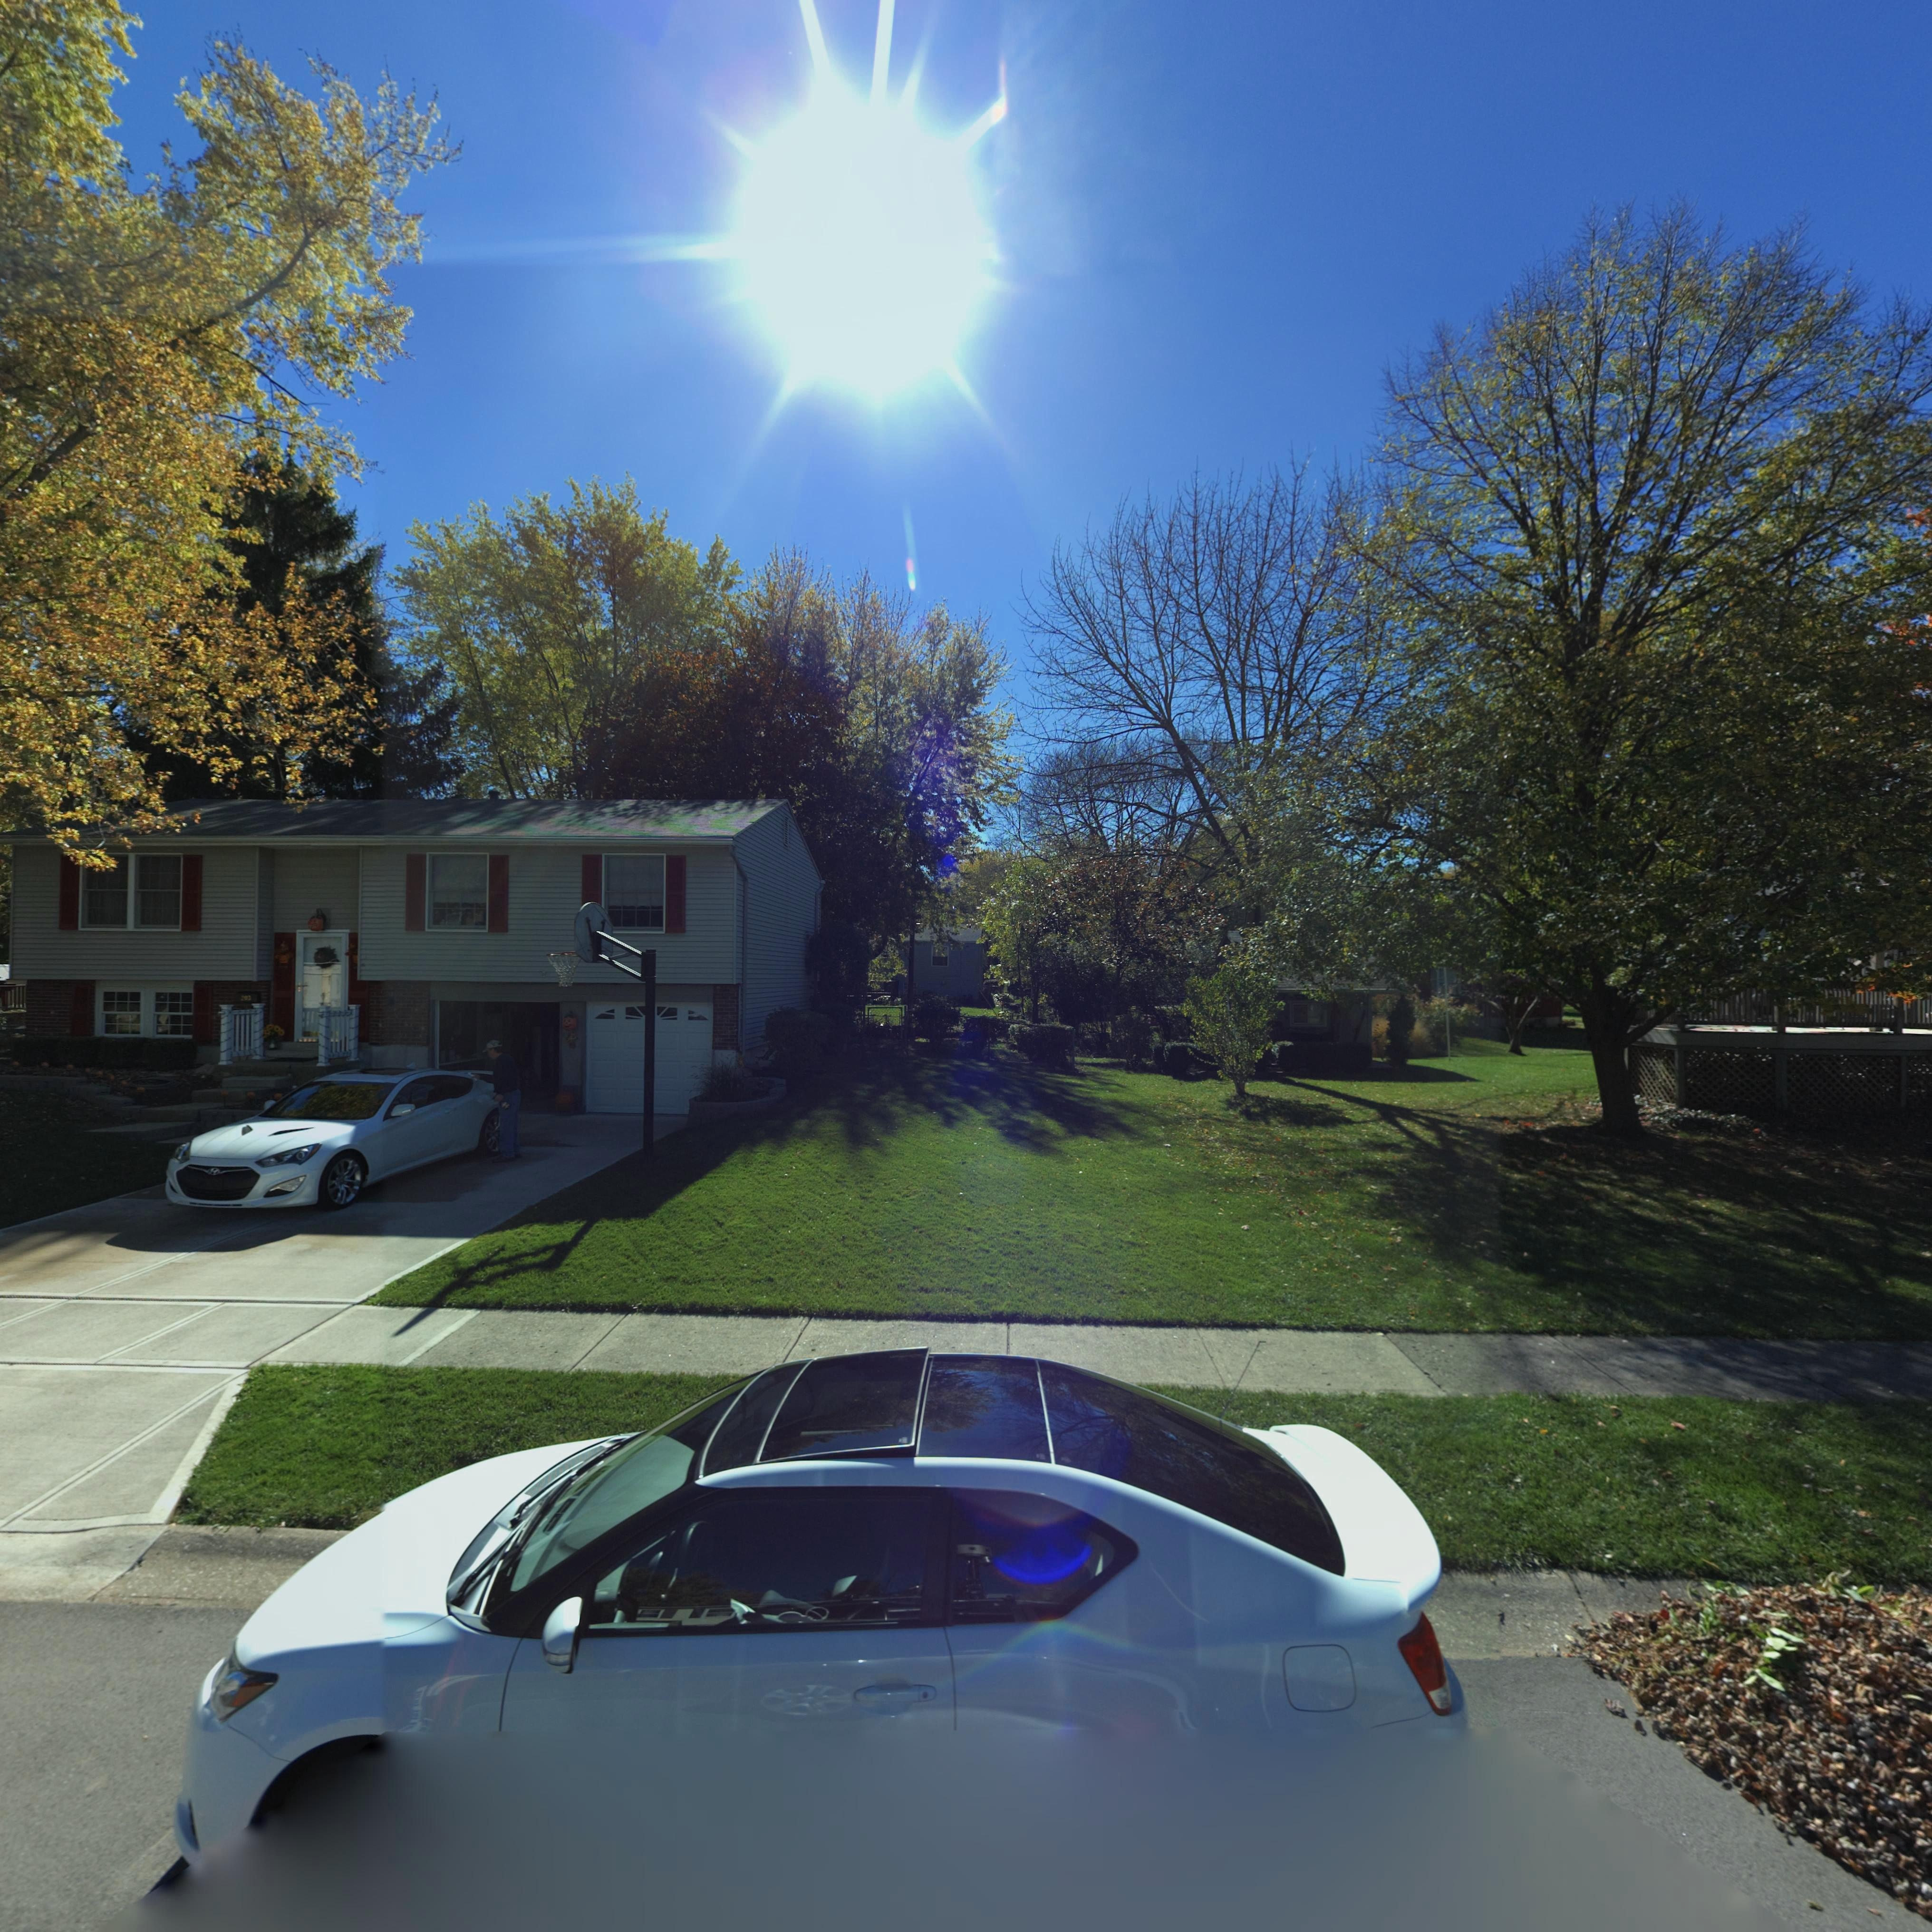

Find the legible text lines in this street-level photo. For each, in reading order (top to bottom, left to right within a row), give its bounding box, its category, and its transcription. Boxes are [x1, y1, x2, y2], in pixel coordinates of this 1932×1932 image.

[240, 994, 252, 1002] StreetNumber: 203